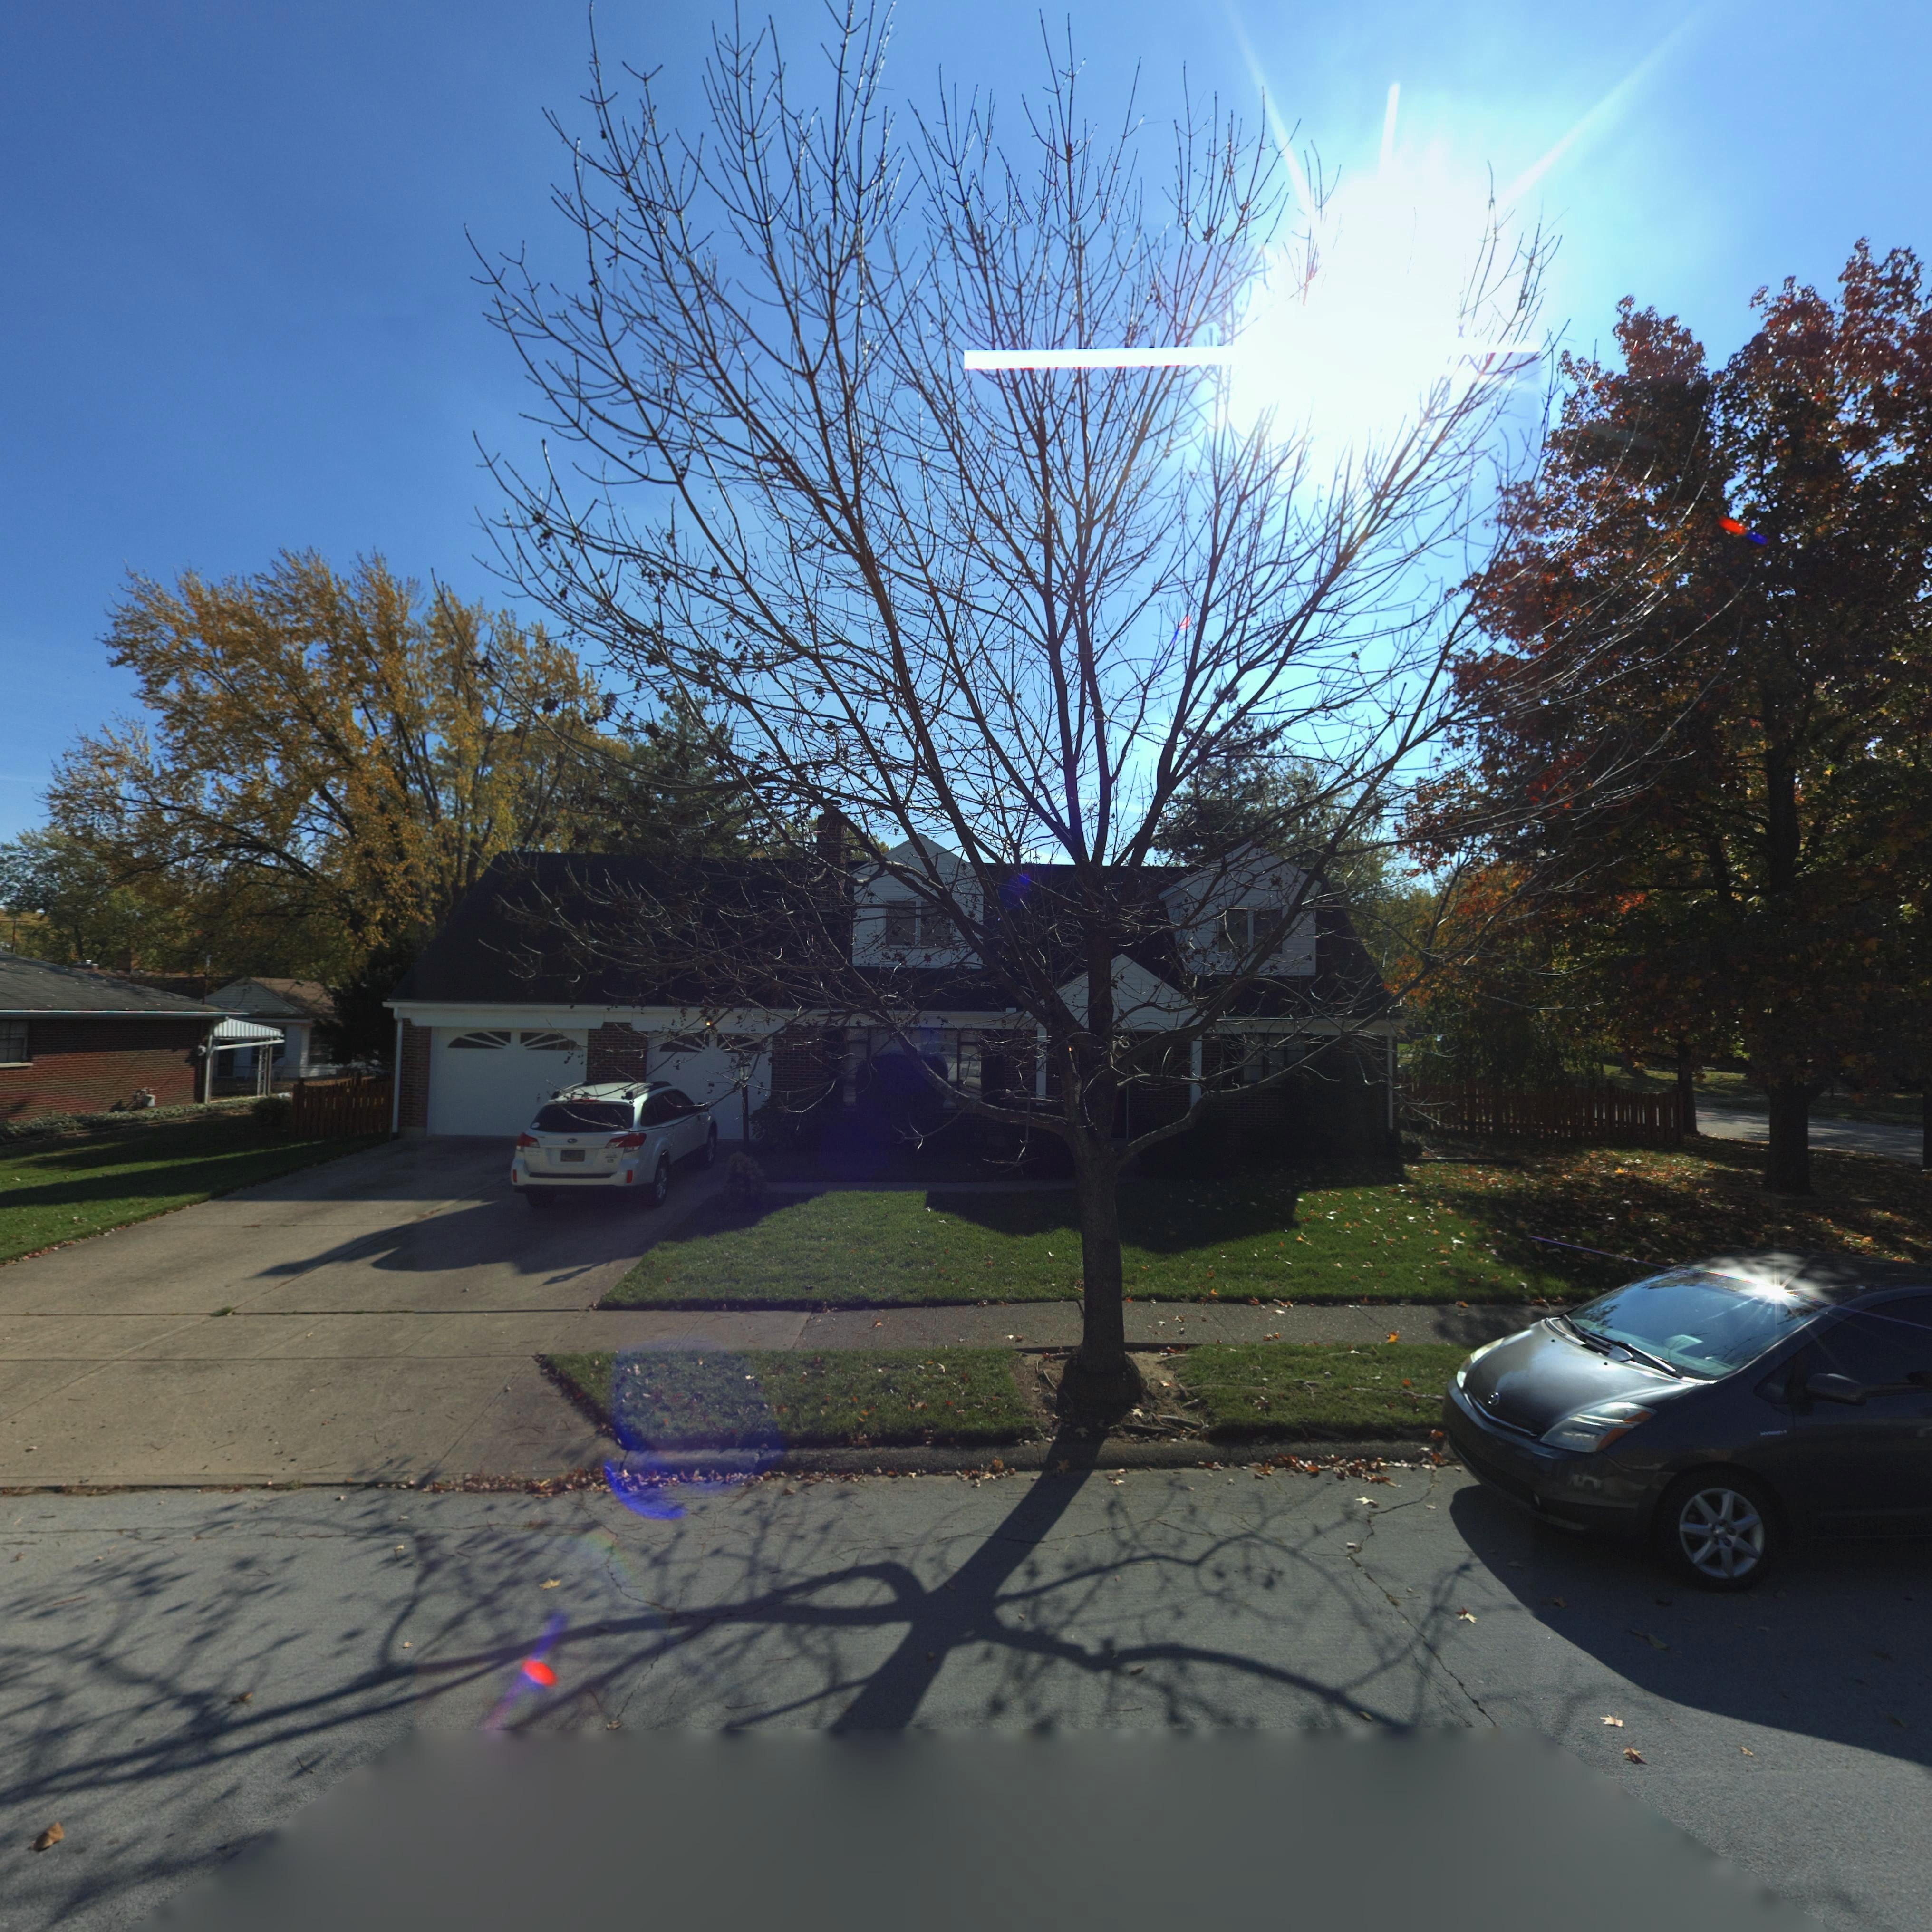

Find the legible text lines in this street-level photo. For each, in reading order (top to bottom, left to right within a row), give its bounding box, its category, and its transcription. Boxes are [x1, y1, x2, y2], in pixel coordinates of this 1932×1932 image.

[1039, 1057, 1045, 1064] StreetNumber: 7